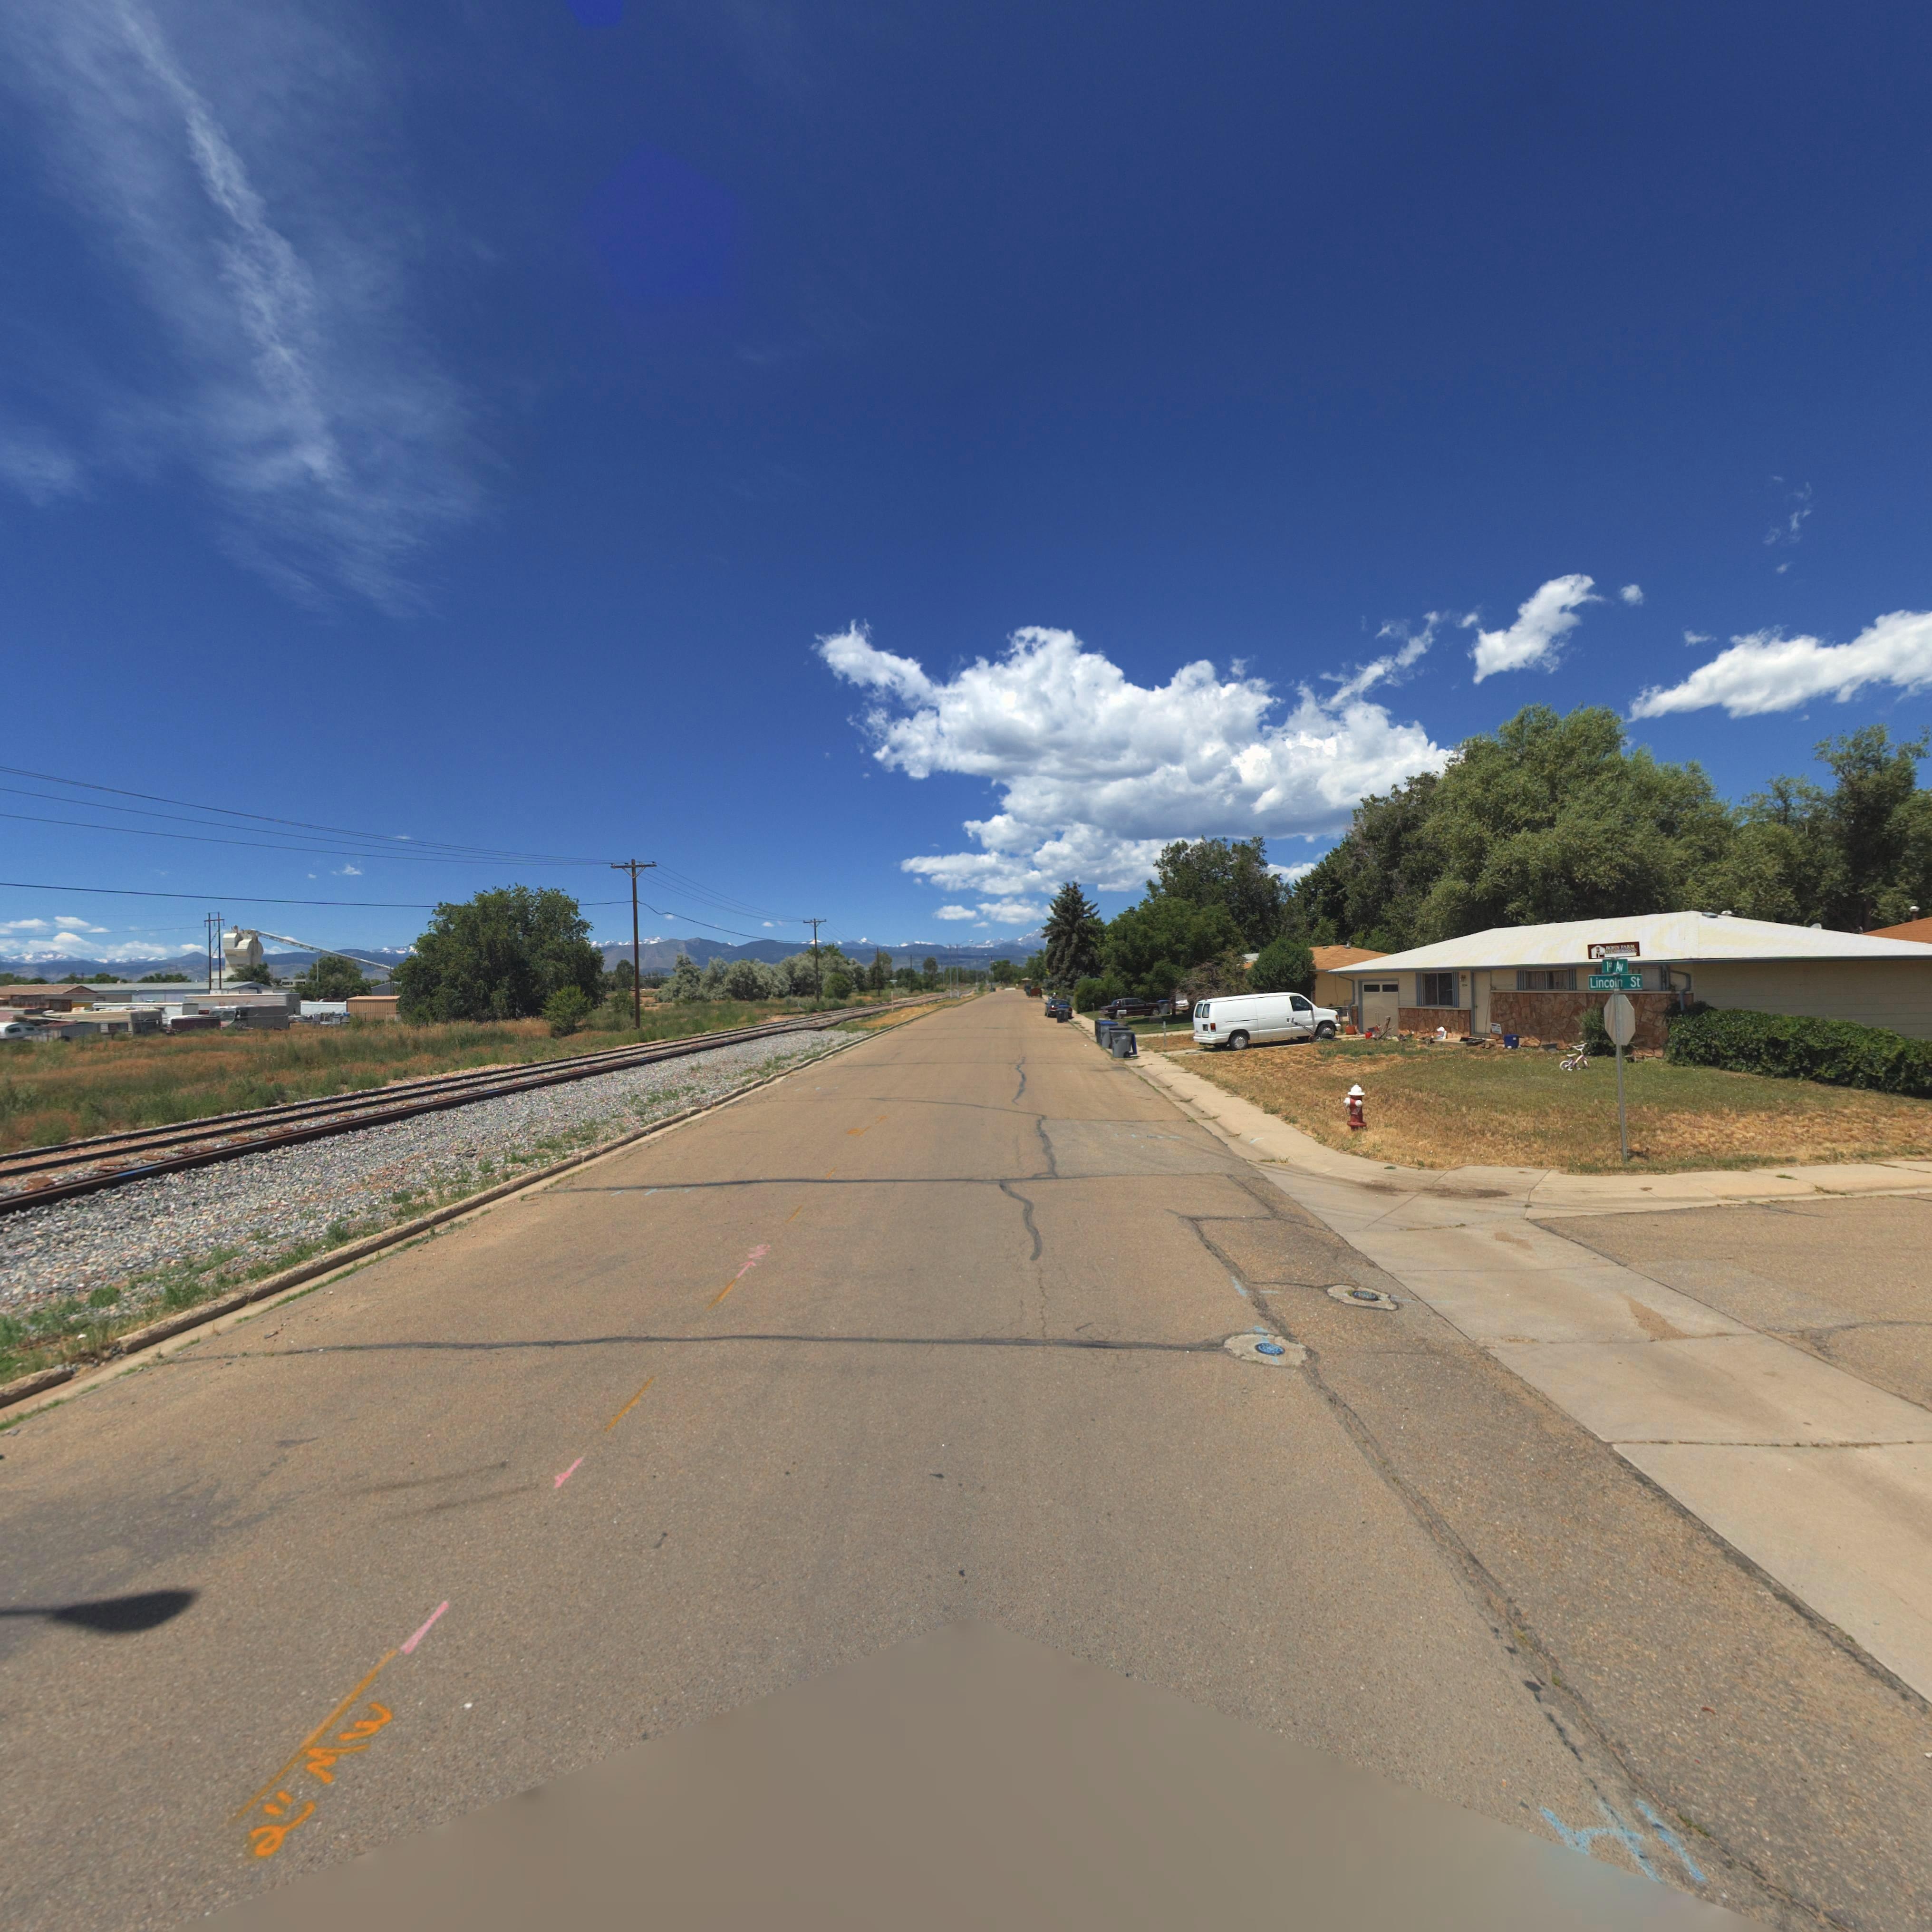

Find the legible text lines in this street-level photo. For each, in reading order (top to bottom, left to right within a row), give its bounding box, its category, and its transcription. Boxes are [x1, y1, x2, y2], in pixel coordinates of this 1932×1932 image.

[1606, 961, 1623, 972] StreetName: 1st Av
[1590, 976, 1641, 988] StreetName: Lincoln St